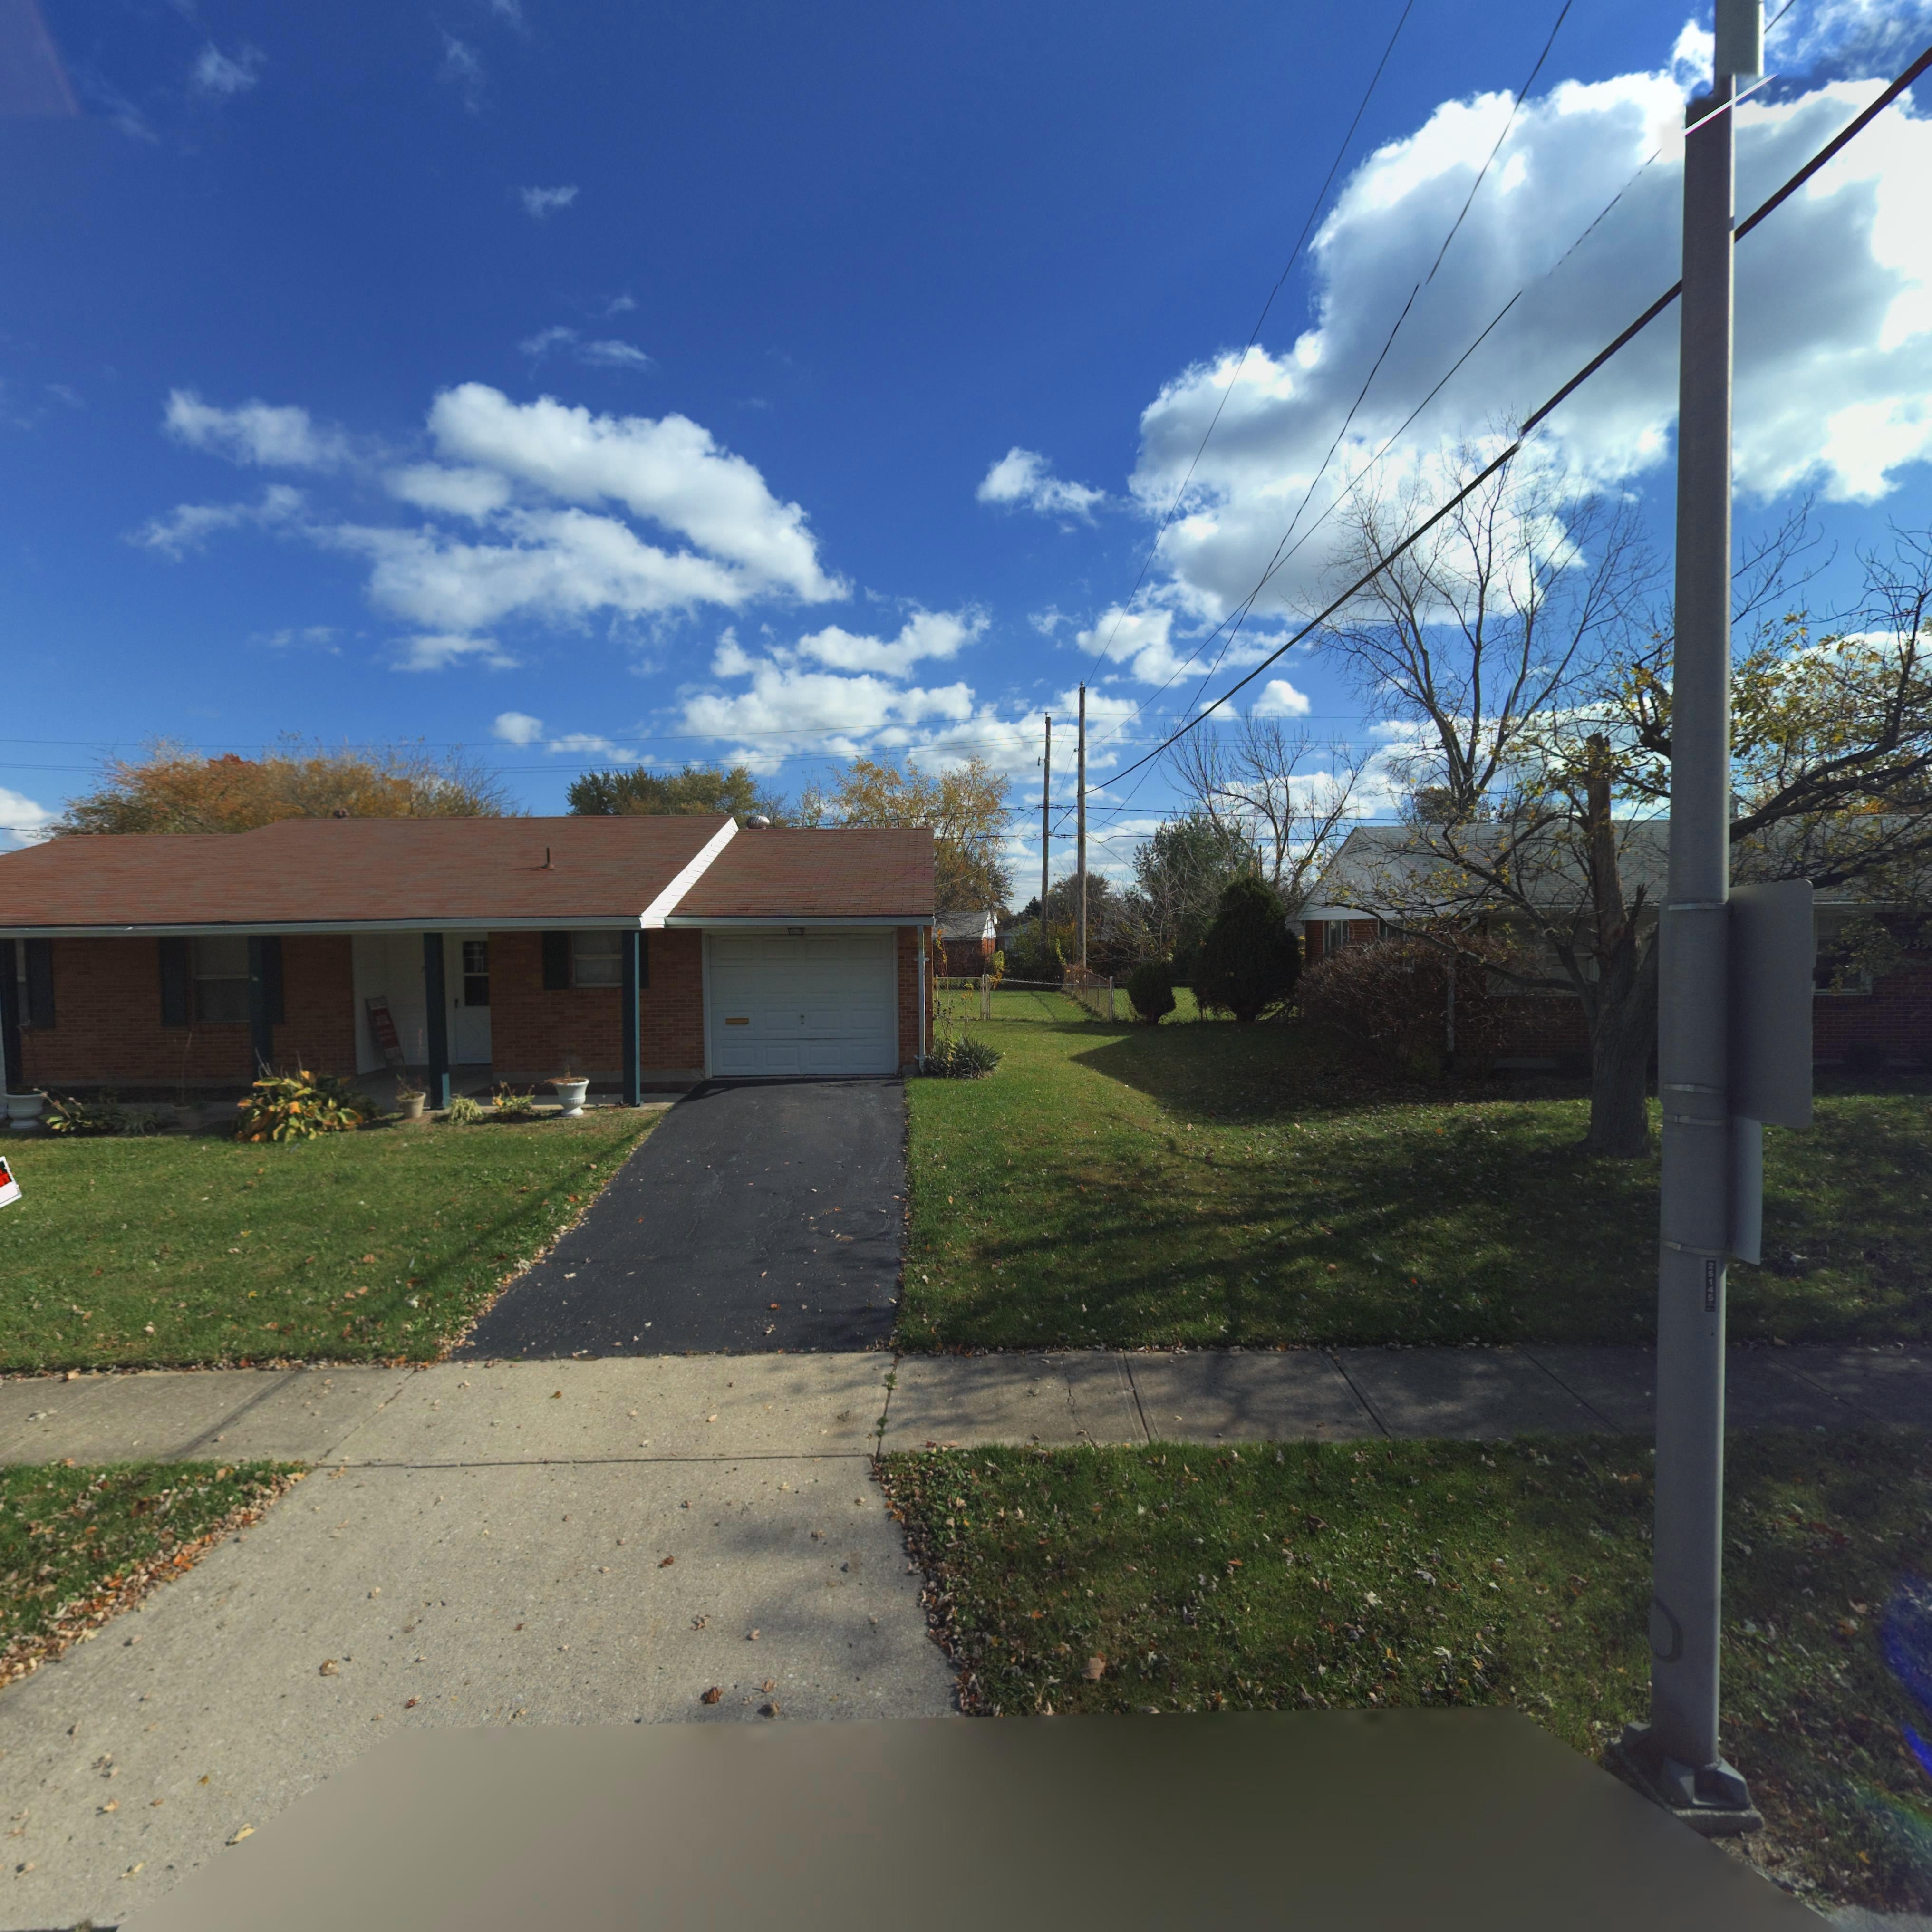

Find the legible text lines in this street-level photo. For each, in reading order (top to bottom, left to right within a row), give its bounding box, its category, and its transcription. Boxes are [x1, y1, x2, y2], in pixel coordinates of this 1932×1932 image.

[1910, 939, 1929, 950] StreetNumber: 55
[419, 965, 425, 973] StreetNumber: 7